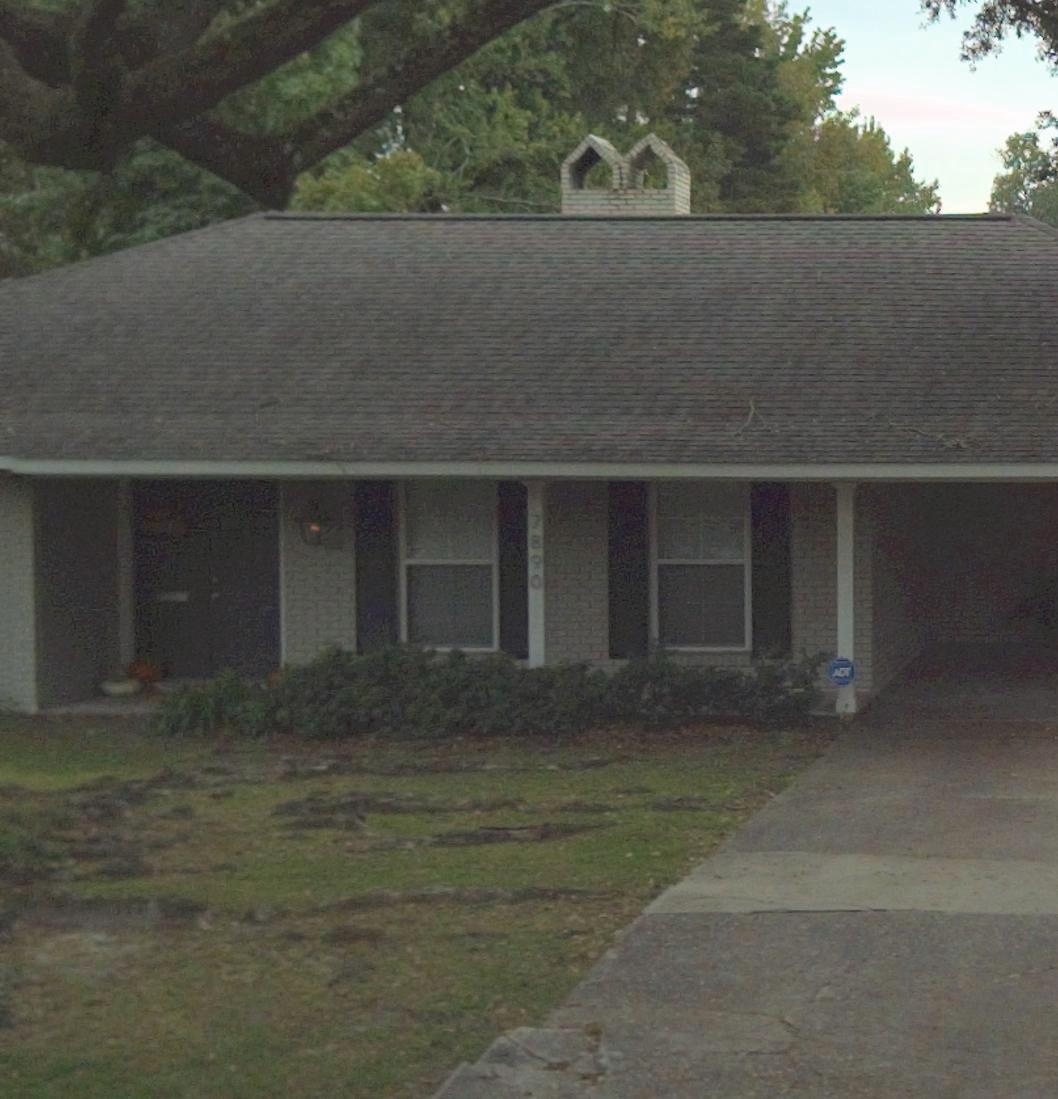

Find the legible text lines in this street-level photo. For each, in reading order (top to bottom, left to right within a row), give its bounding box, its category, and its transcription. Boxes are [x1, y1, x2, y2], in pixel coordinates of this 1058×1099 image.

[528, 513, 543, 591] StreetNumber: 7890
[830, 667, 852, 677] None: ADT